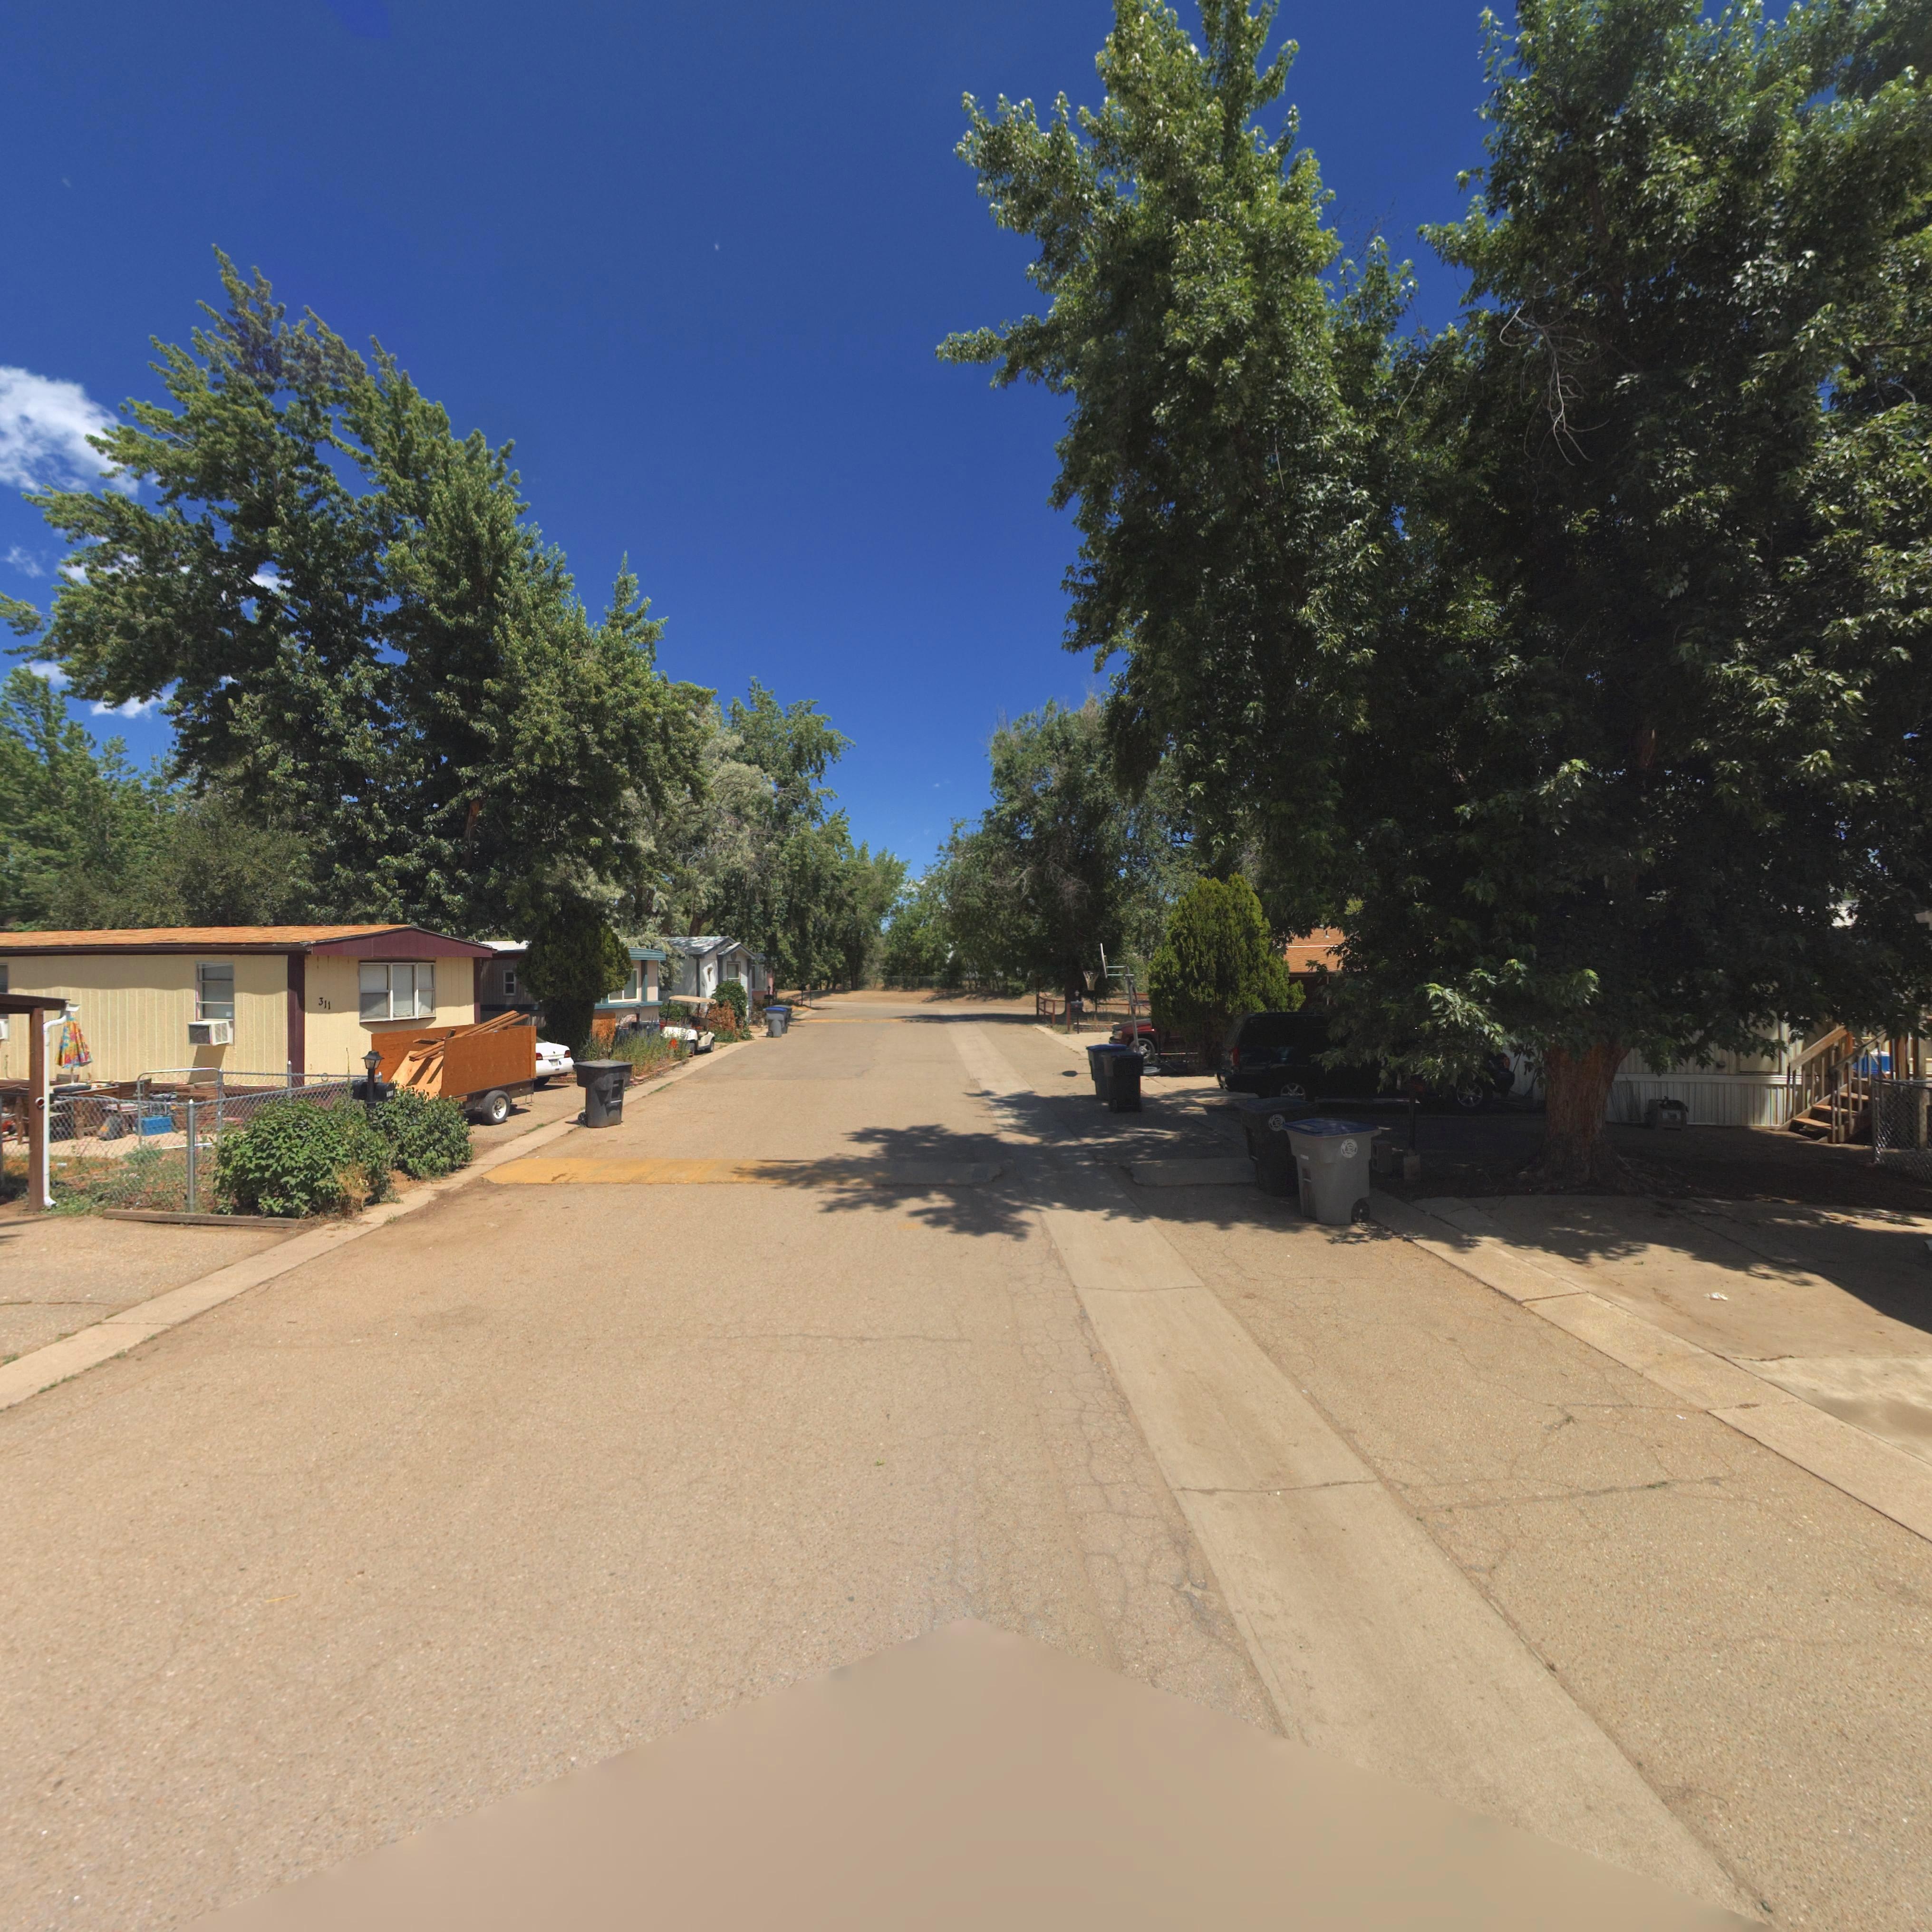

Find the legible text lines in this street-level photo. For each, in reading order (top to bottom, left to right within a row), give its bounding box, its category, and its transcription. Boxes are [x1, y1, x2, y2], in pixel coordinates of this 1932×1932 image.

[318, 997, 330, 1010] StreetNumber: 311